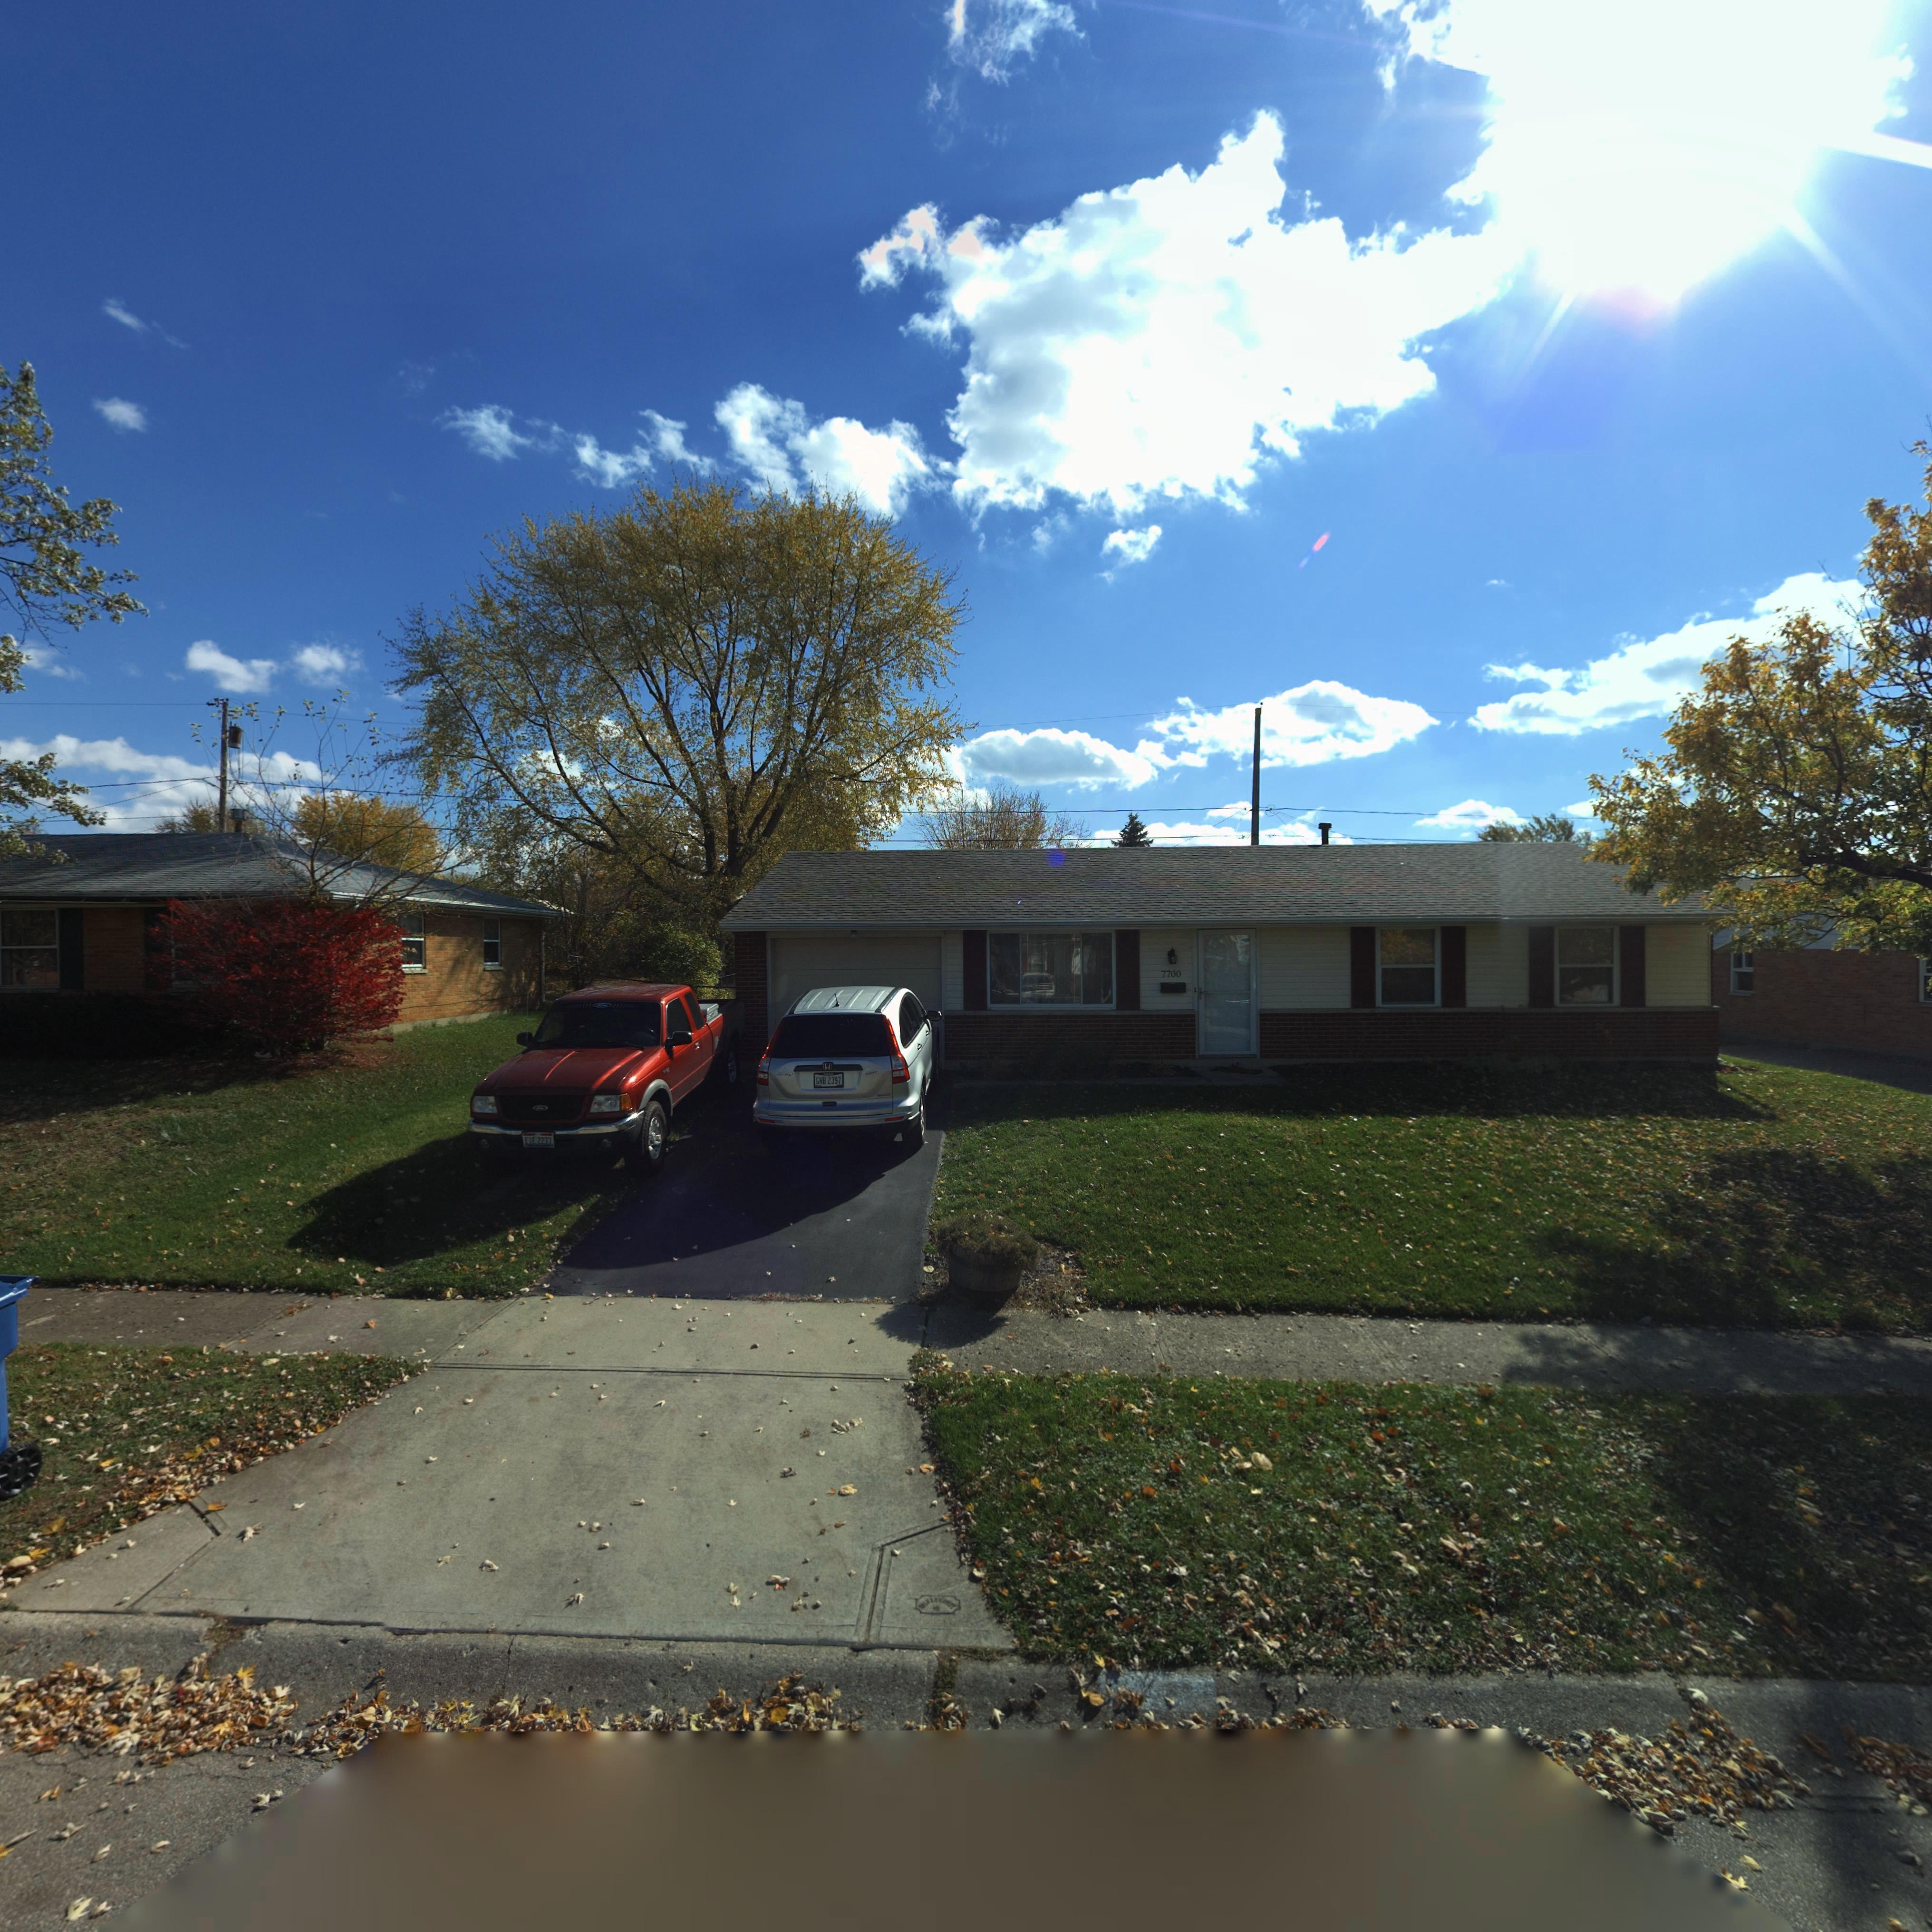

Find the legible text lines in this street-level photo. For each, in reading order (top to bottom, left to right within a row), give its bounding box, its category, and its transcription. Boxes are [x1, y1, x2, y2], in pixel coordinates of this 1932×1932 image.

[1161, 970, 1181, 978] StreetNumber: 7700